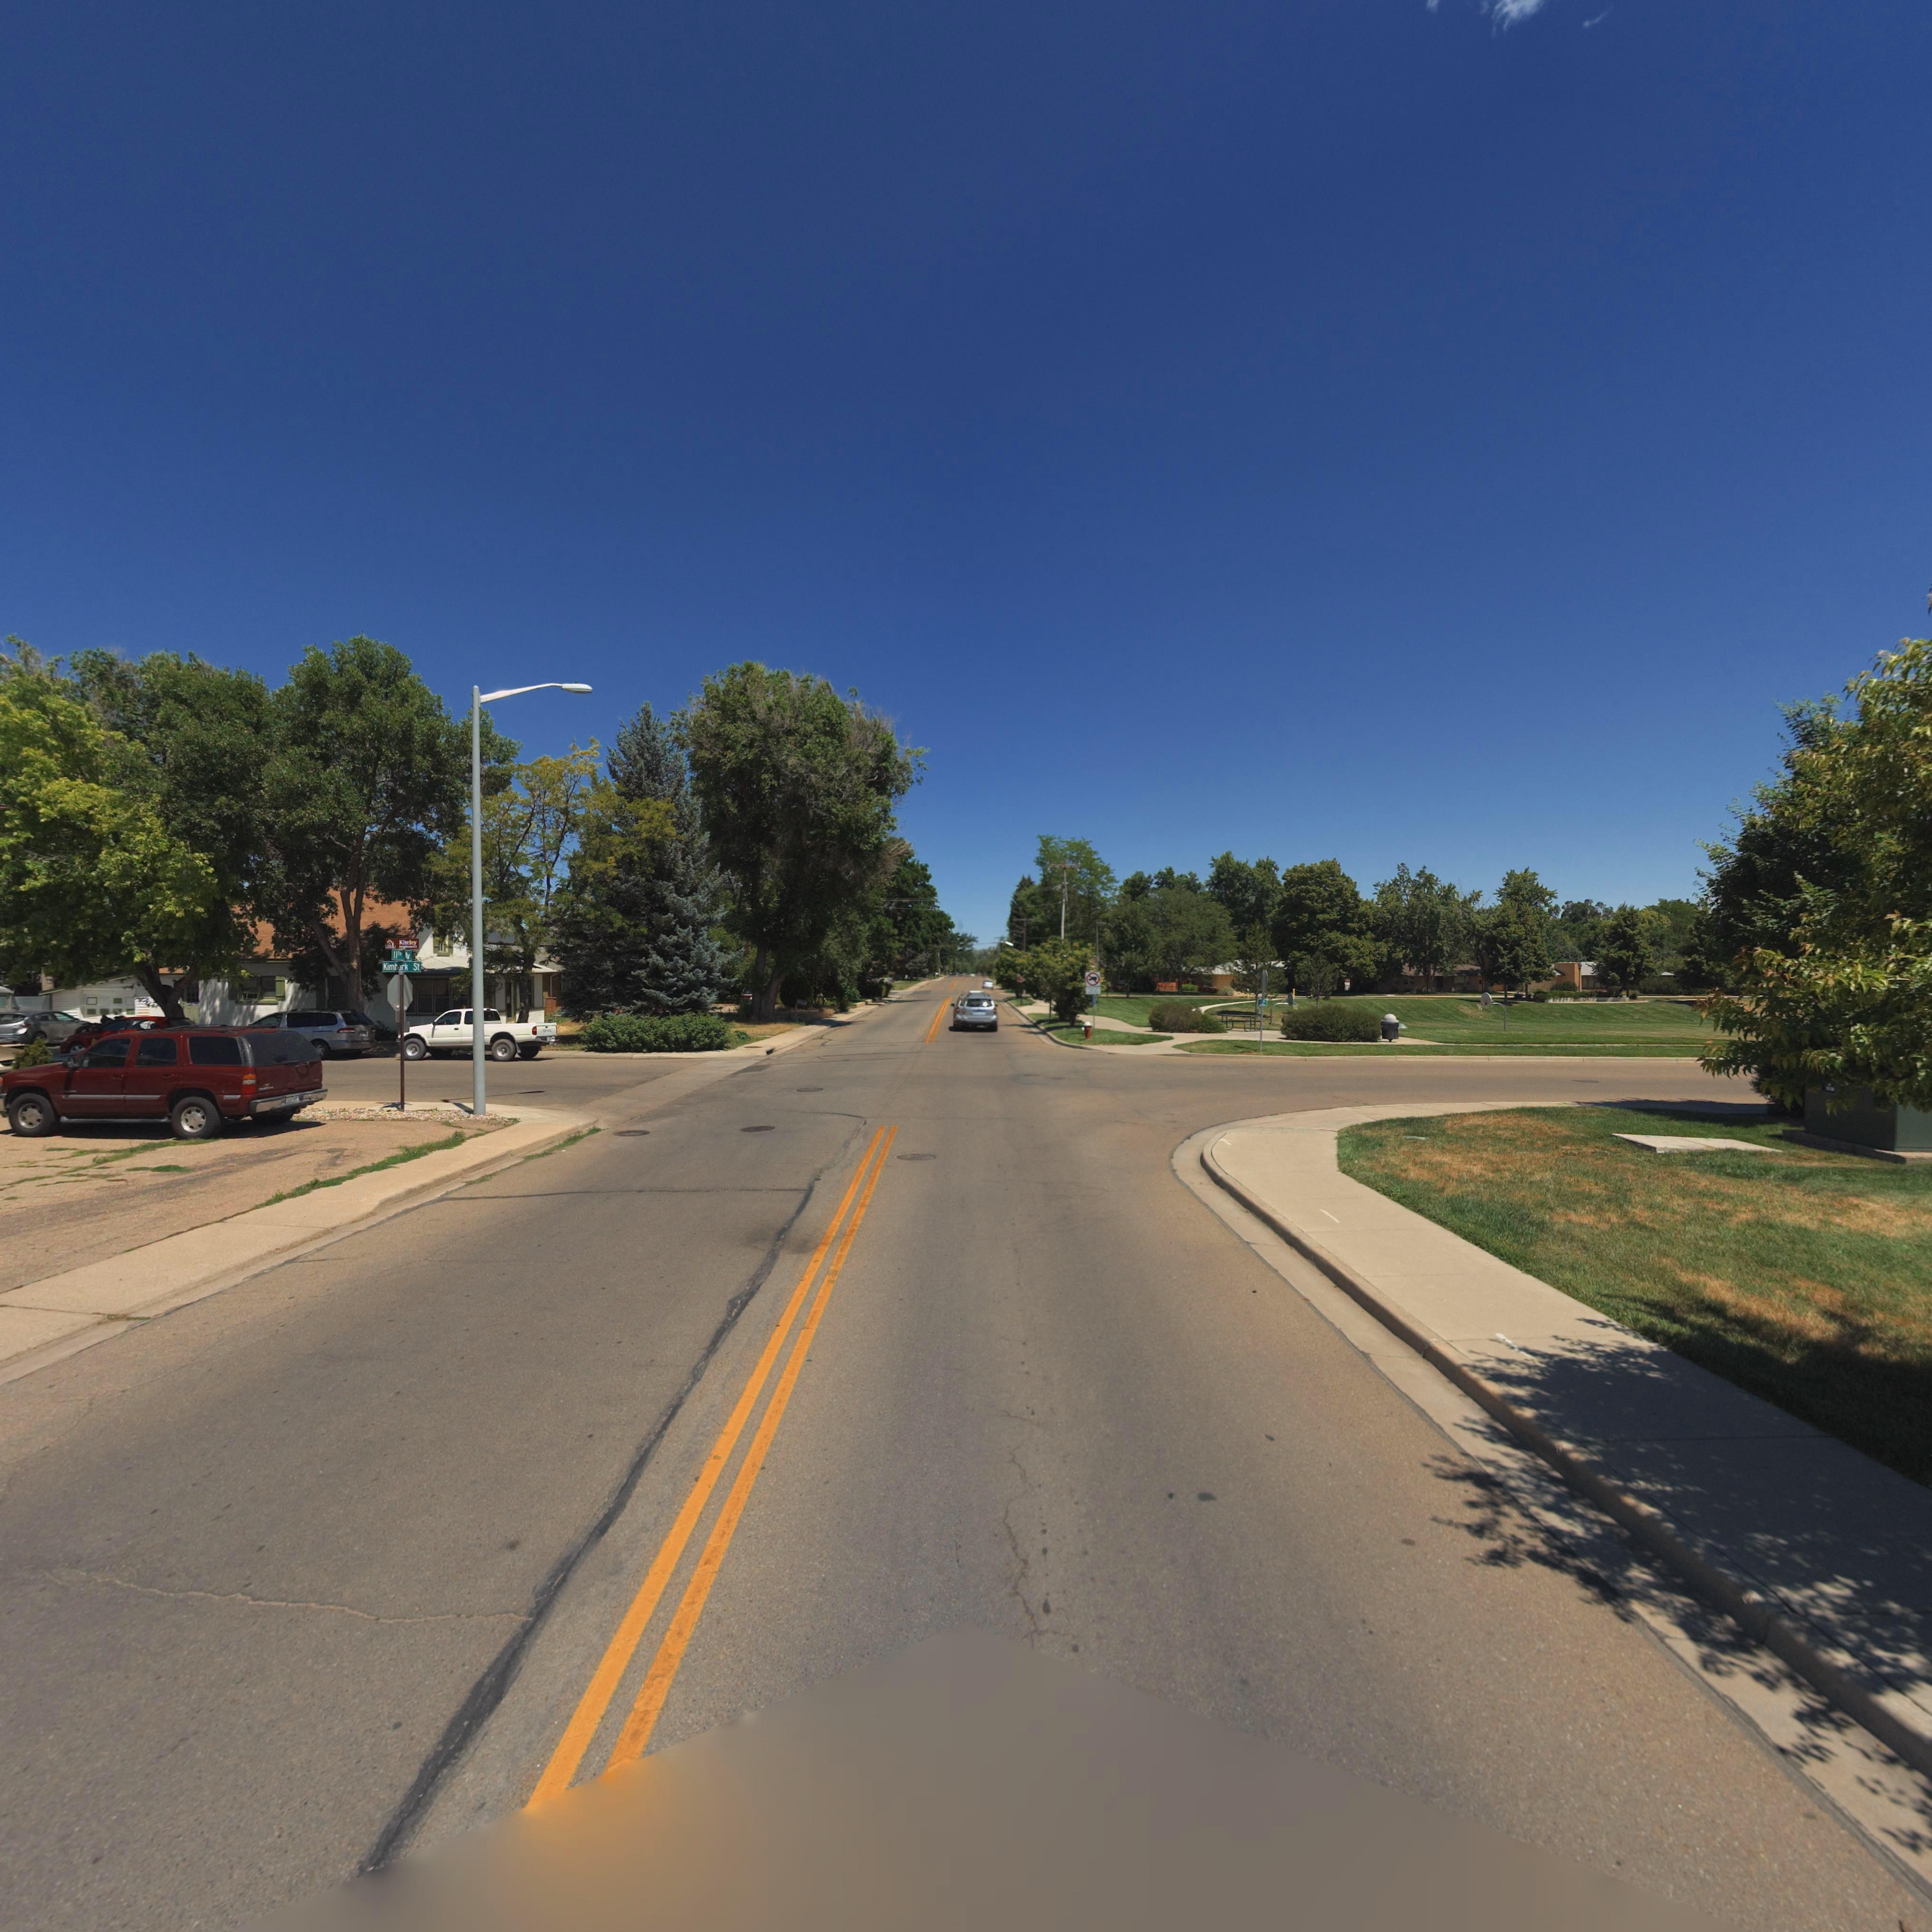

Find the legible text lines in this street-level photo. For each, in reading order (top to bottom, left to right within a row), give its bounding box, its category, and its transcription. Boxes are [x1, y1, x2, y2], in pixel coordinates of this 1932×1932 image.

[393, 950, 411, 960] StreetName: 11th A*
[383, 962, 420, 971] StreetName: Kimbark St